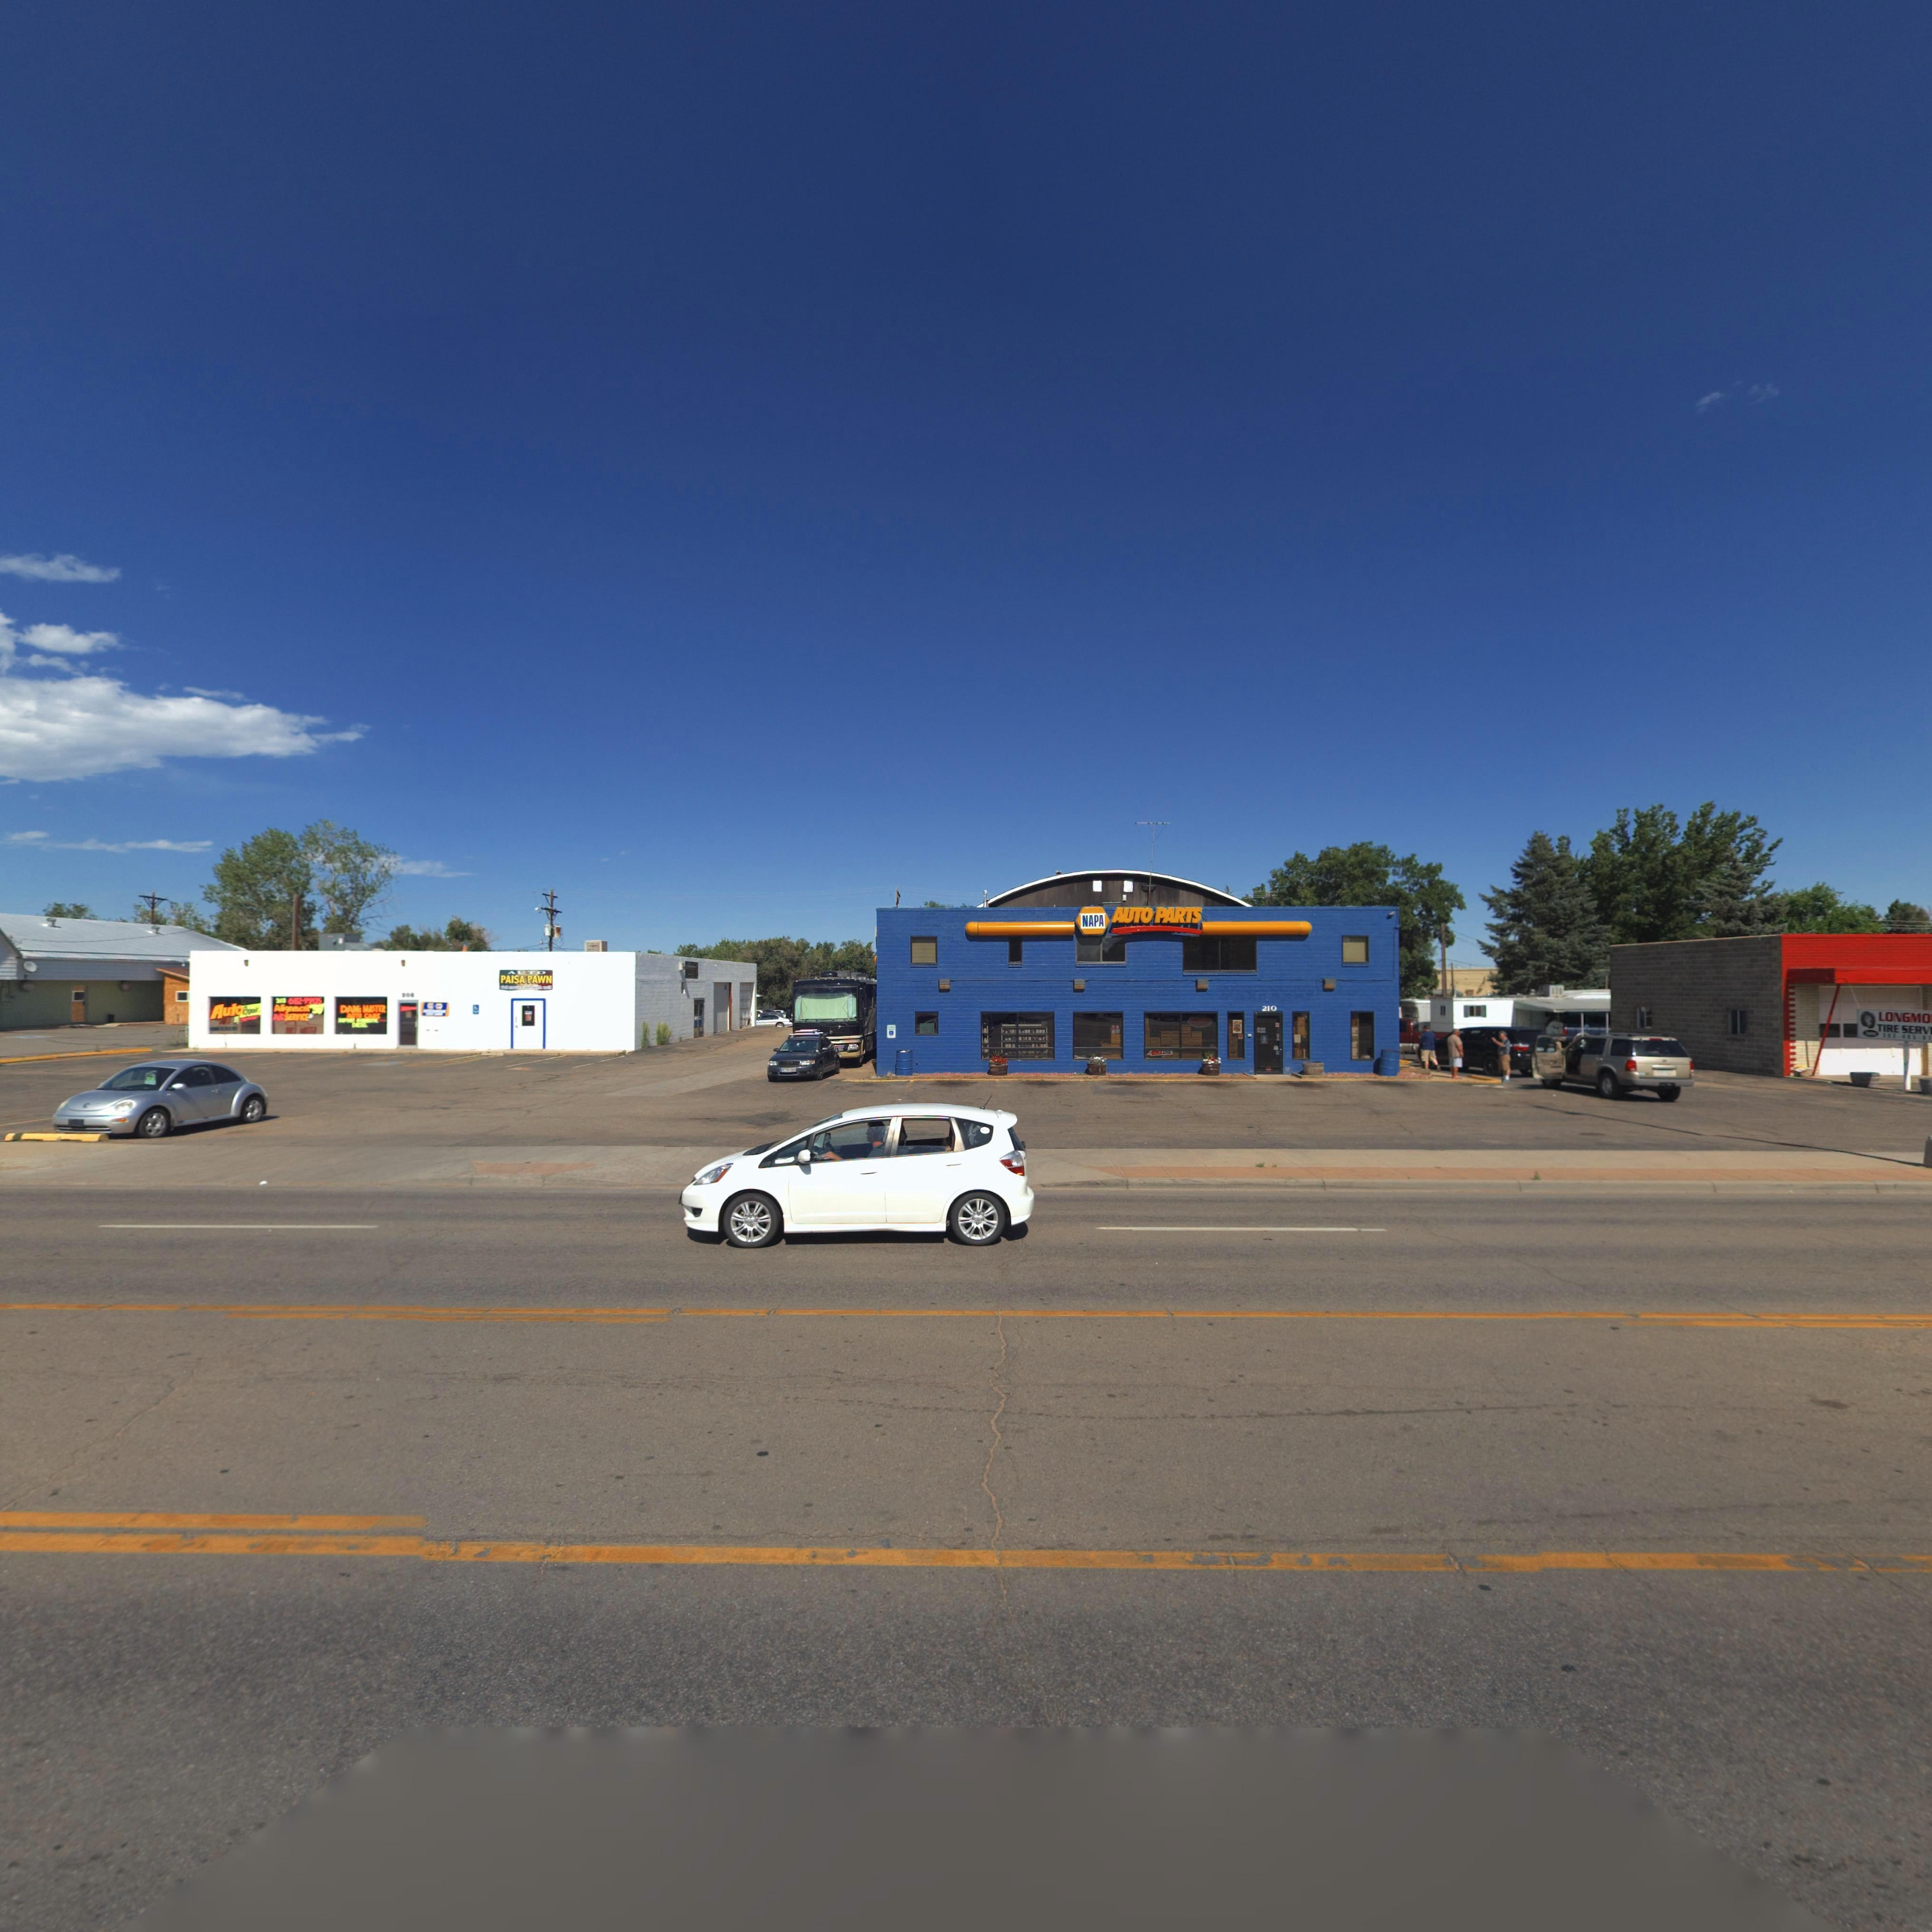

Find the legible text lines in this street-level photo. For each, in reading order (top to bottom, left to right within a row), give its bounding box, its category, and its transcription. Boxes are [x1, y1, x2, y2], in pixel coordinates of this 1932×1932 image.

[1109, 906, 1203, 924] BusinessName: AUTO PARTS
[1082, 914, 1104, 927] BusinessName: NAPA
[506, 970, 547, 975] BusinessName: AUTO
[499, 974, 552, 984] BusinessName: PAISA PAWN
[401, 992, 415, 998] StreetNumber: *0*
[338, 1004, 387, 1014] StreetNumber: DAN* MASTER
[1260, 1005, 1278, 1012] StreetNumber: 210
[345, 1012, 382, 1019] BusinessName: A*TO CAR*
[1878, 1011, 1931, 1024] BusinessName: LONGMO
[1876, 1024, 1931, 1035] BusinessName: TIRE SERV